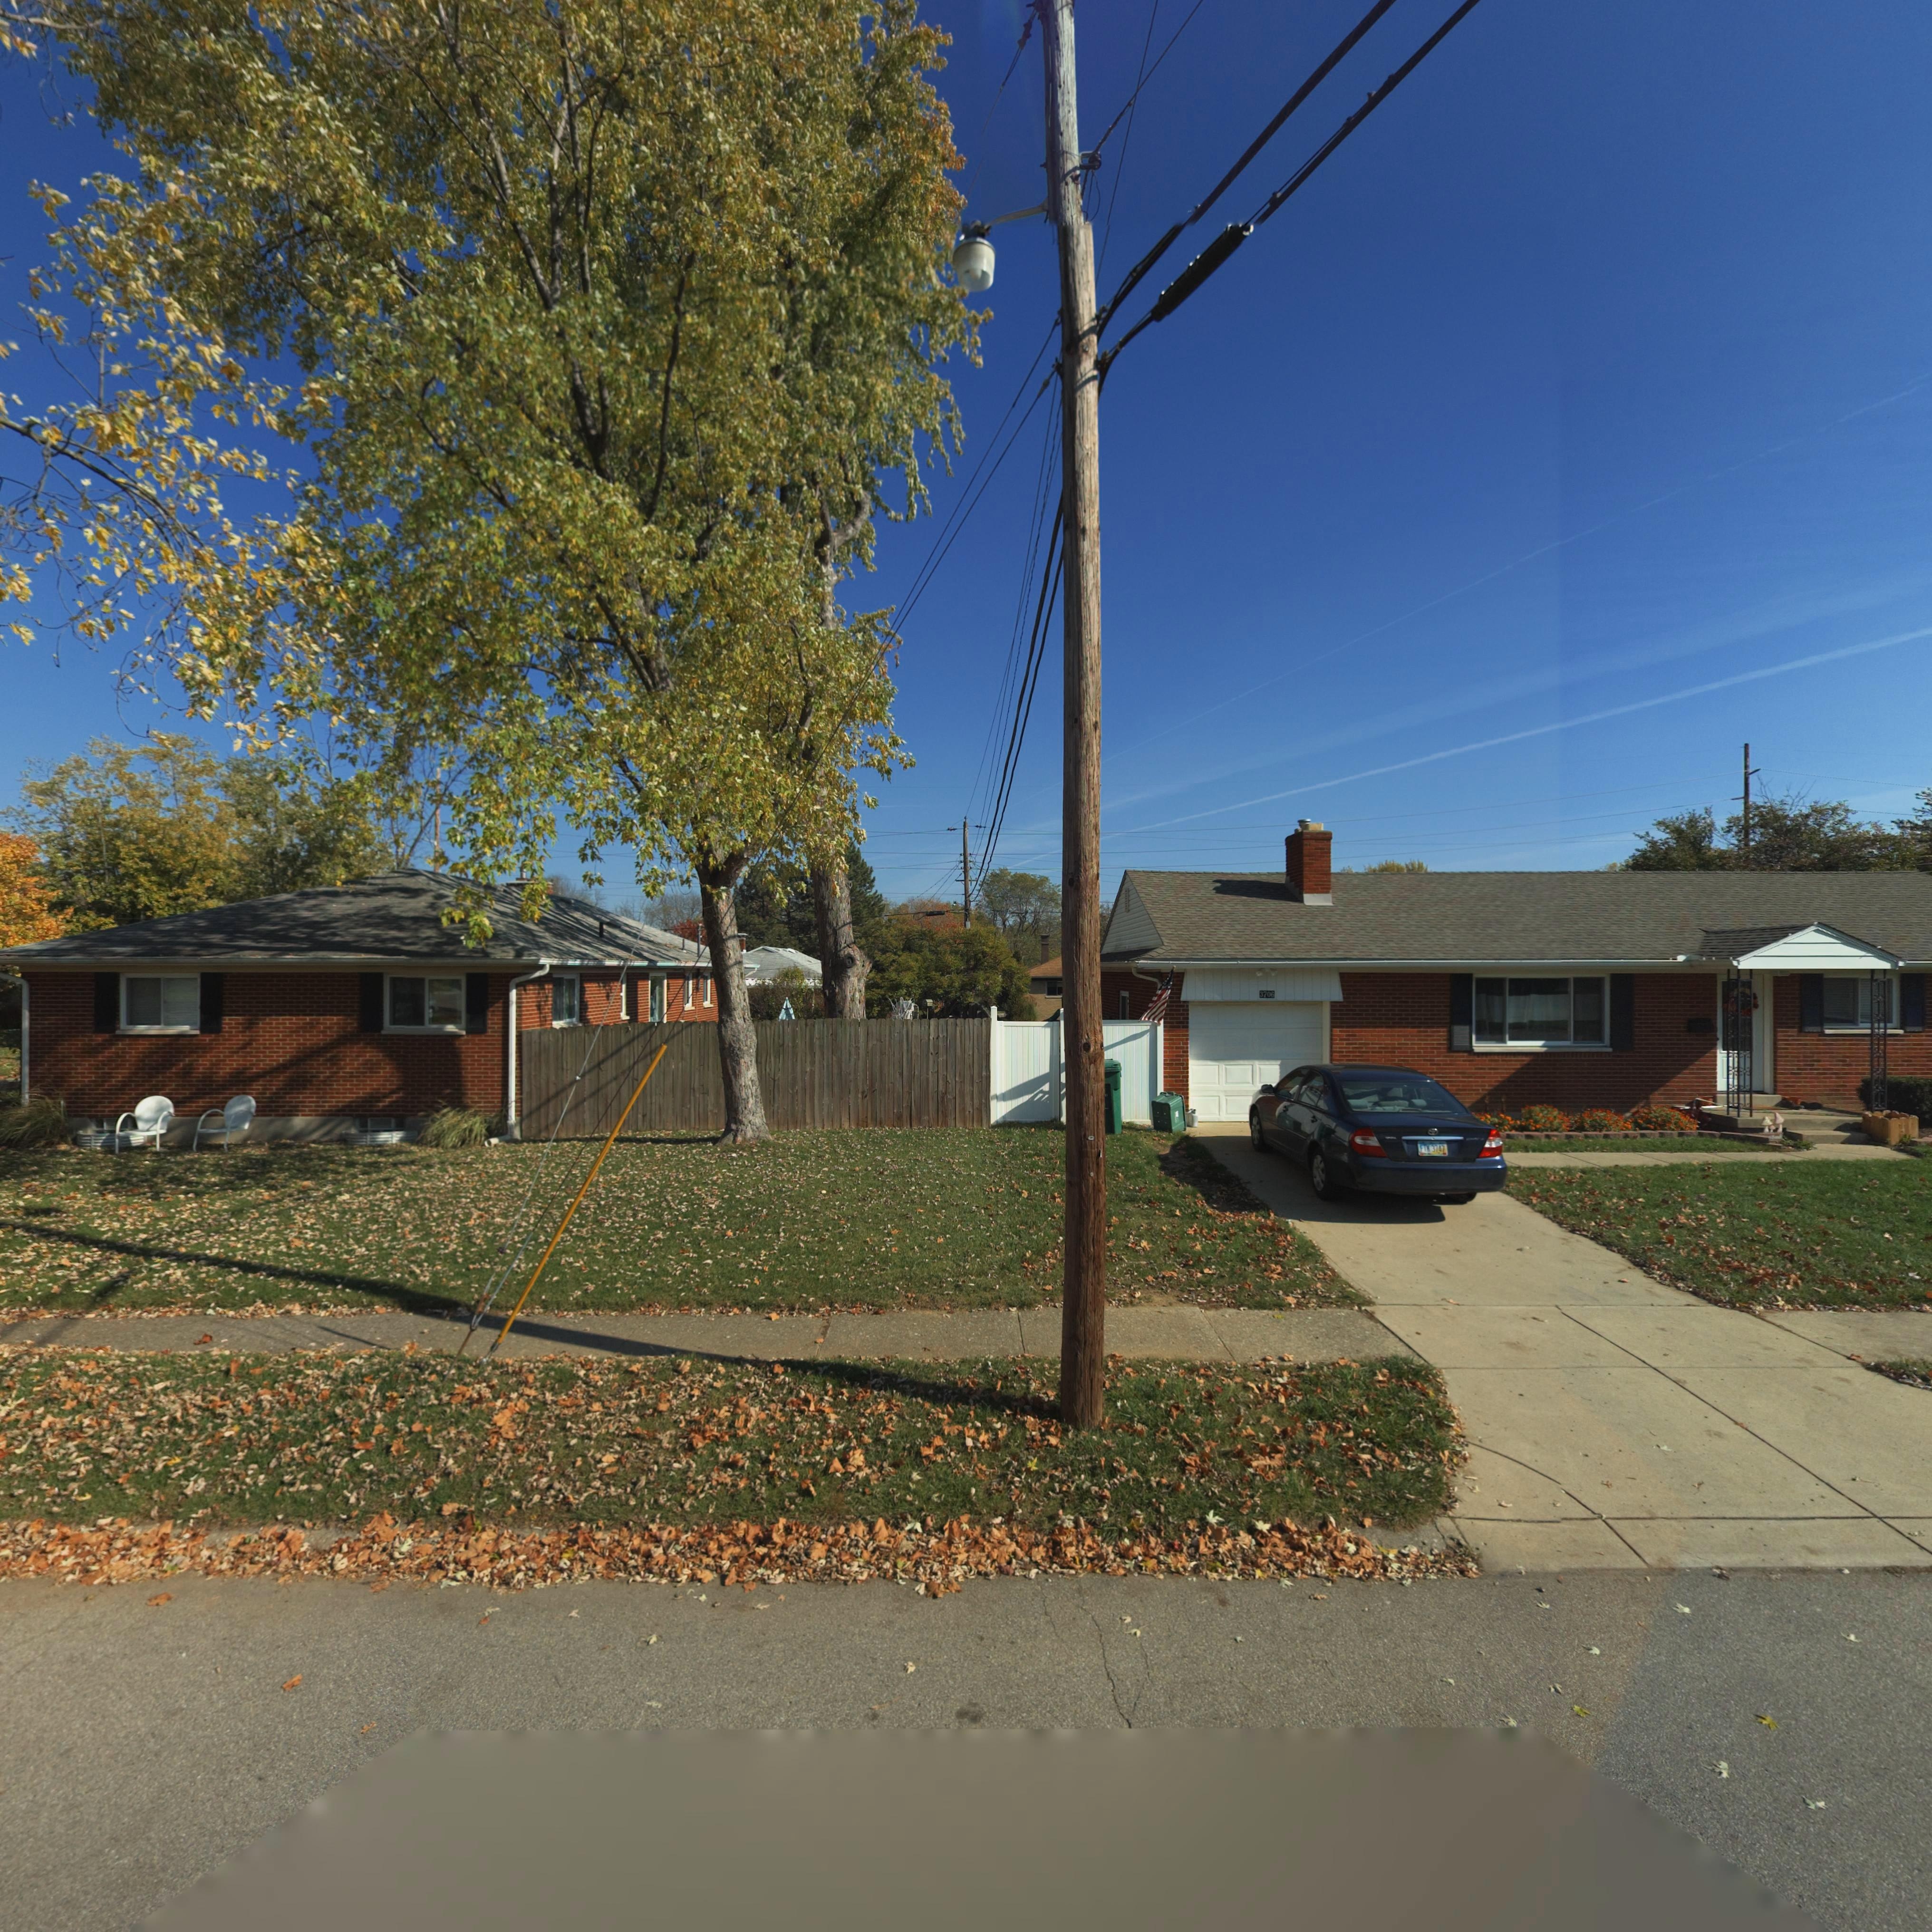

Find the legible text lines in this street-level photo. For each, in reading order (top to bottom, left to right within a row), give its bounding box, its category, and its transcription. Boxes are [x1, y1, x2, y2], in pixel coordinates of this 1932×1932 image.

[1259, 990, 1275, 999] StreetNumber: 3706